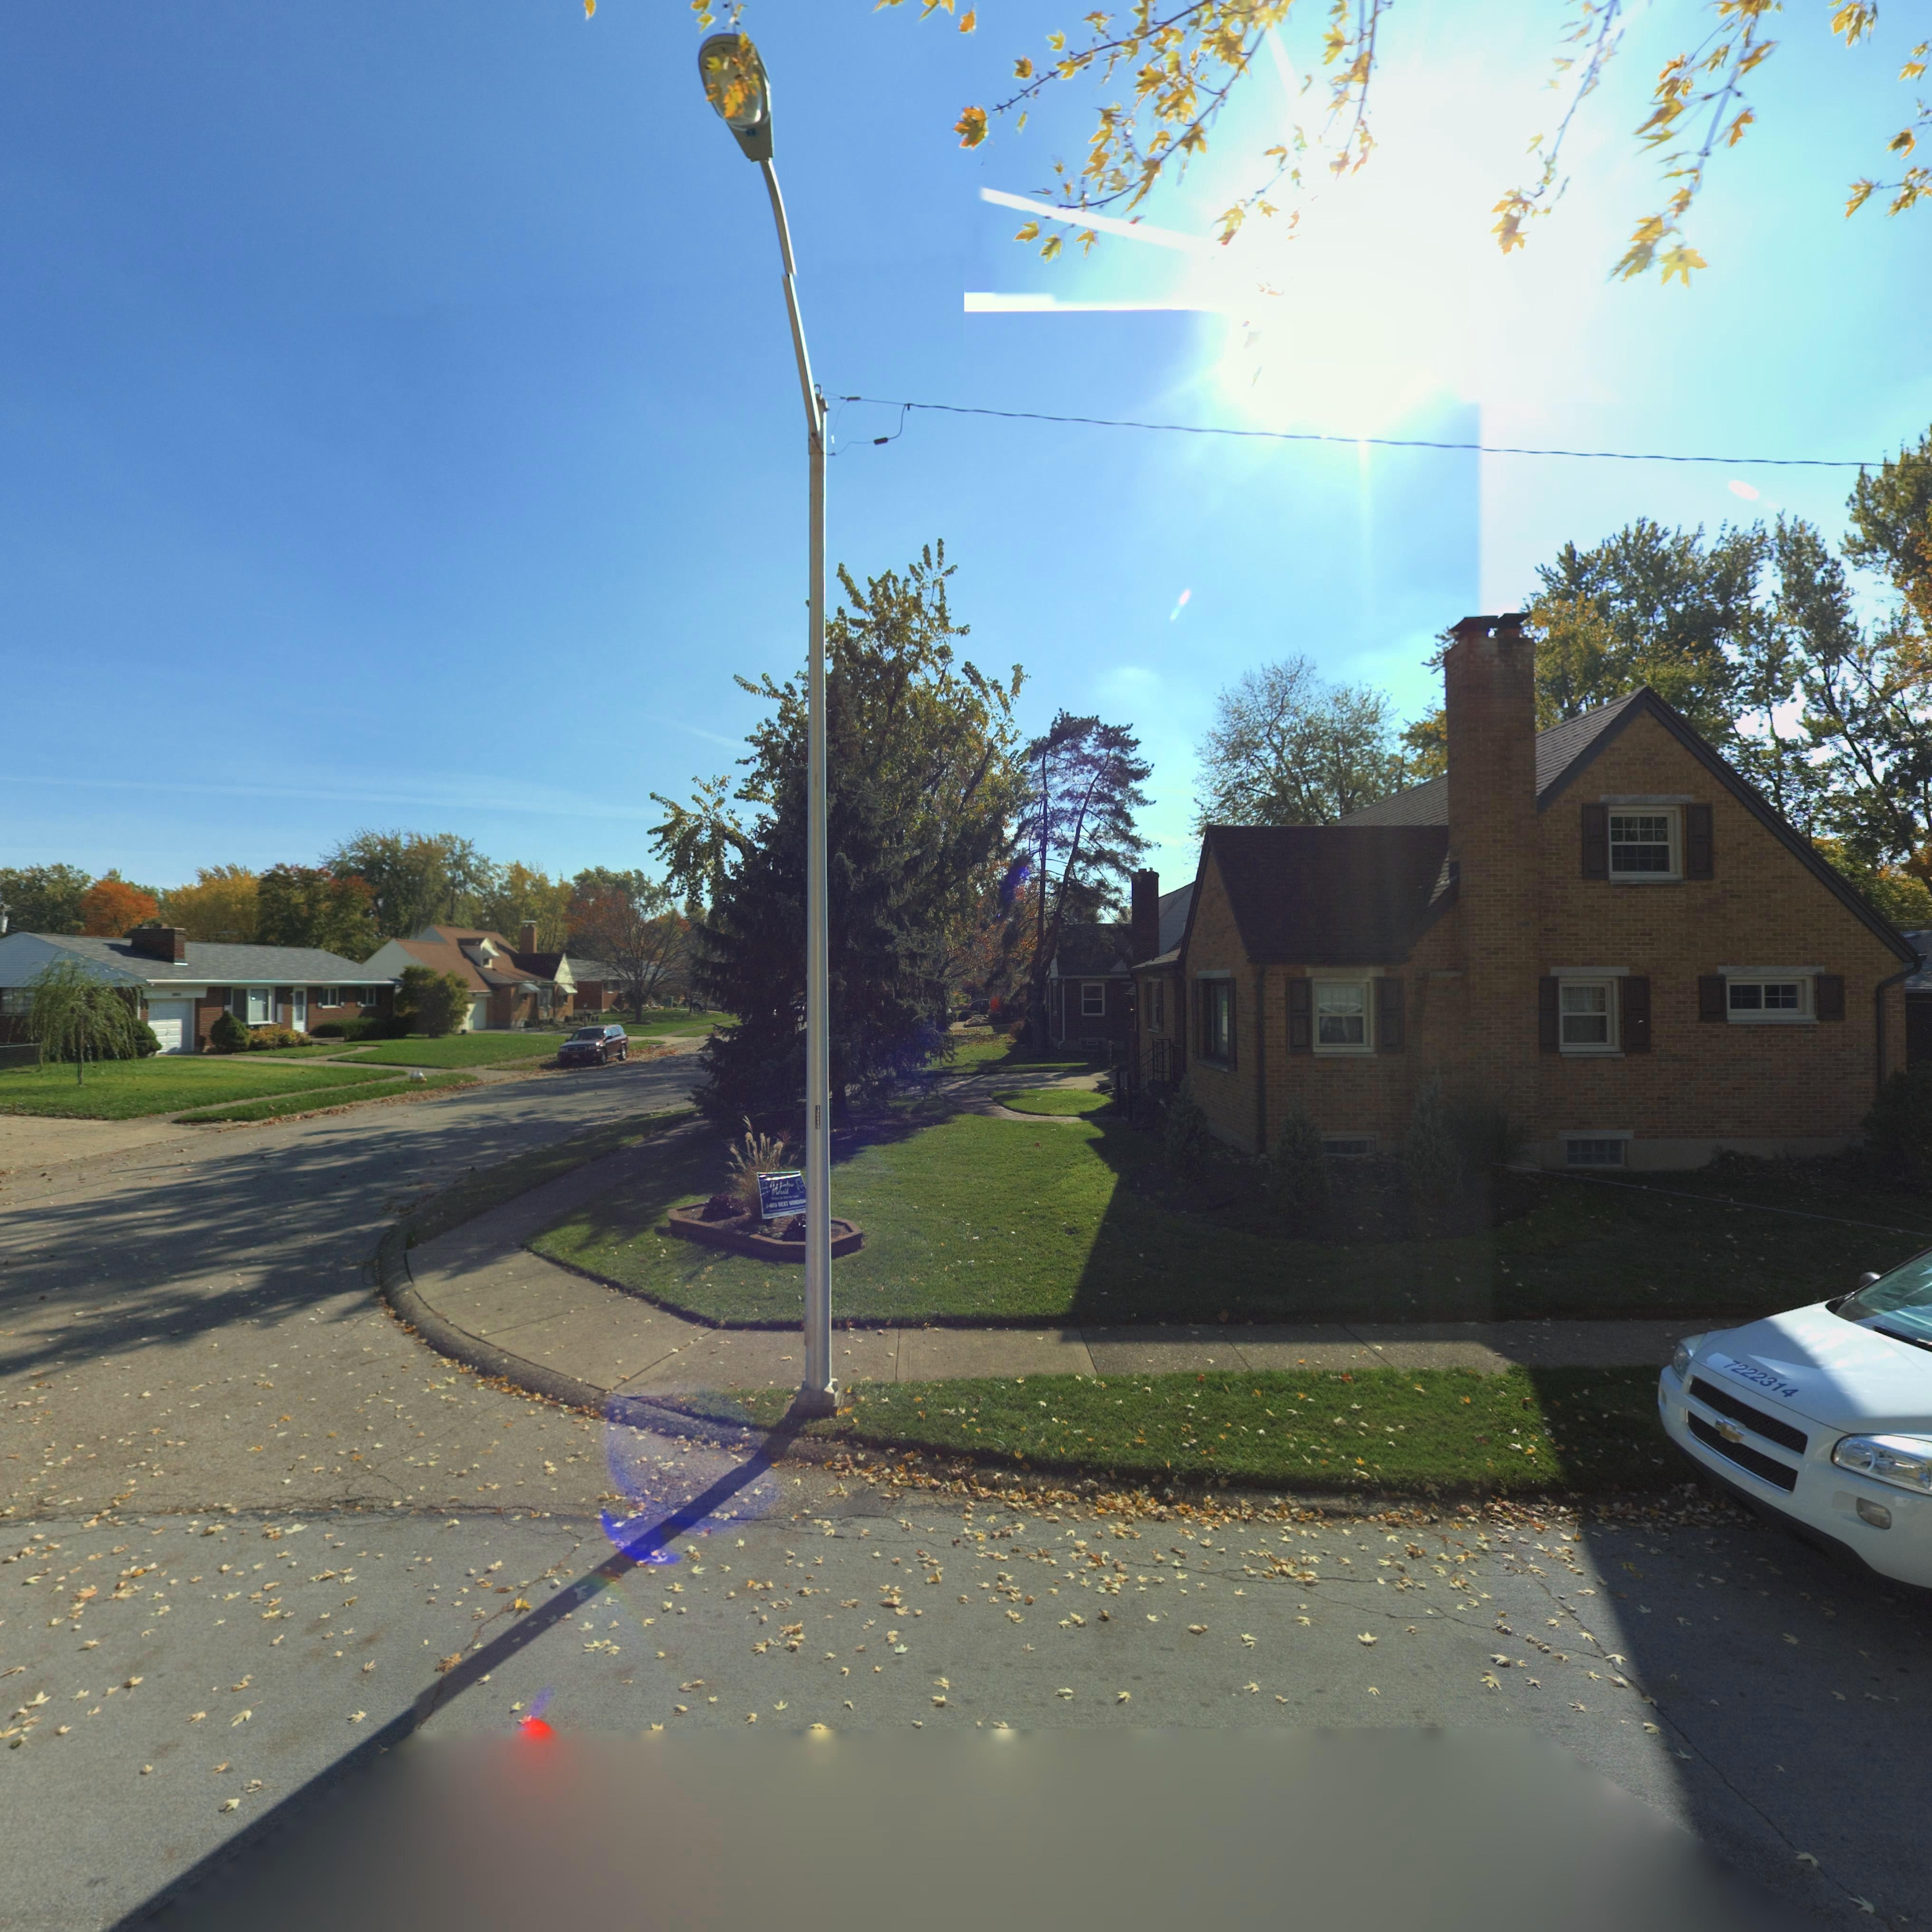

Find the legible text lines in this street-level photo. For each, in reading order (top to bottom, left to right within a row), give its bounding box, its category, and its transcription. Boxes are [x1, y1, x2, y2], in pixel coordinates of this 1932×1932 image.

[815, 1105, 820, 1129] None: 13225
[769, 1180, 782, 1196] None: W
[780, 1186, 789, 1195] None: orld
[766, 1200, 789, 1209] None: 1-80* Next
[1721, 1359, 1801, 1398] None: 7222314